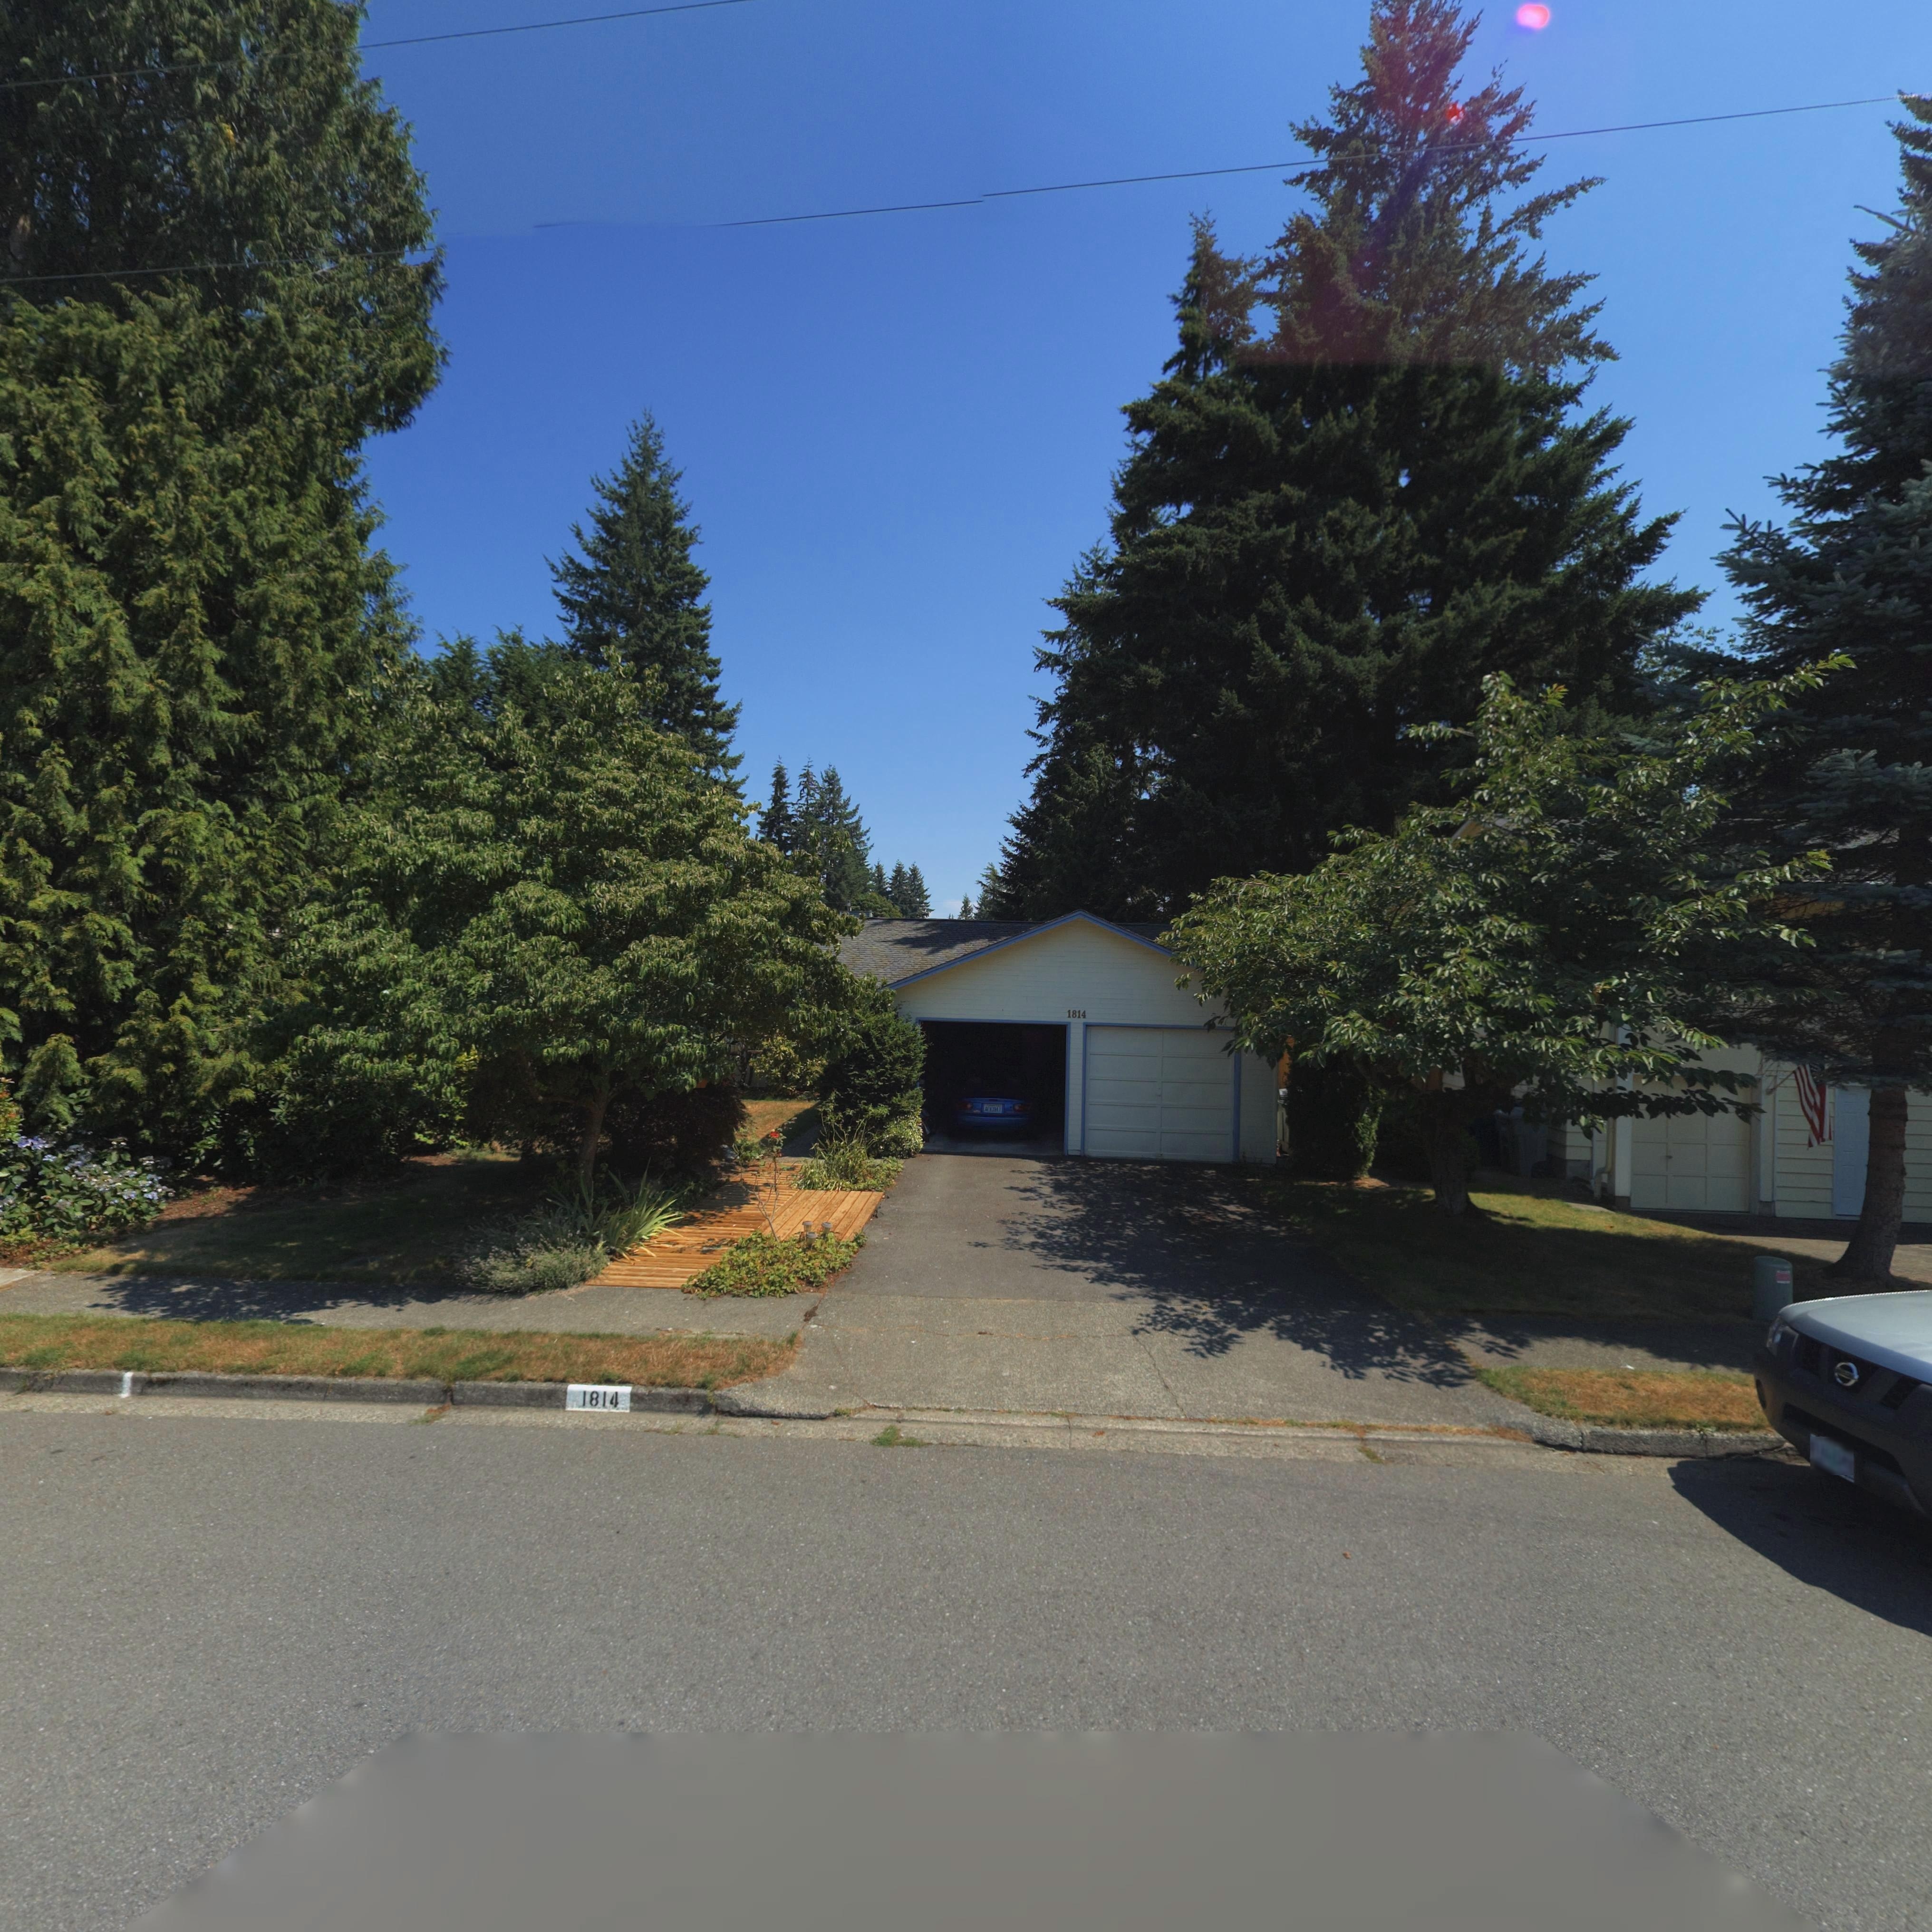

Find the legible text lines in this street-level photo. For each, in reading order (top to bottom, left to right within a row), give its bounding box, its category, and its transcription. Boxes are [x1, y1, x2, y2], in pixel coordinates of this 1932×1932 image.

[1066, 1009, 1086, 1019] StreetNumber: 1814